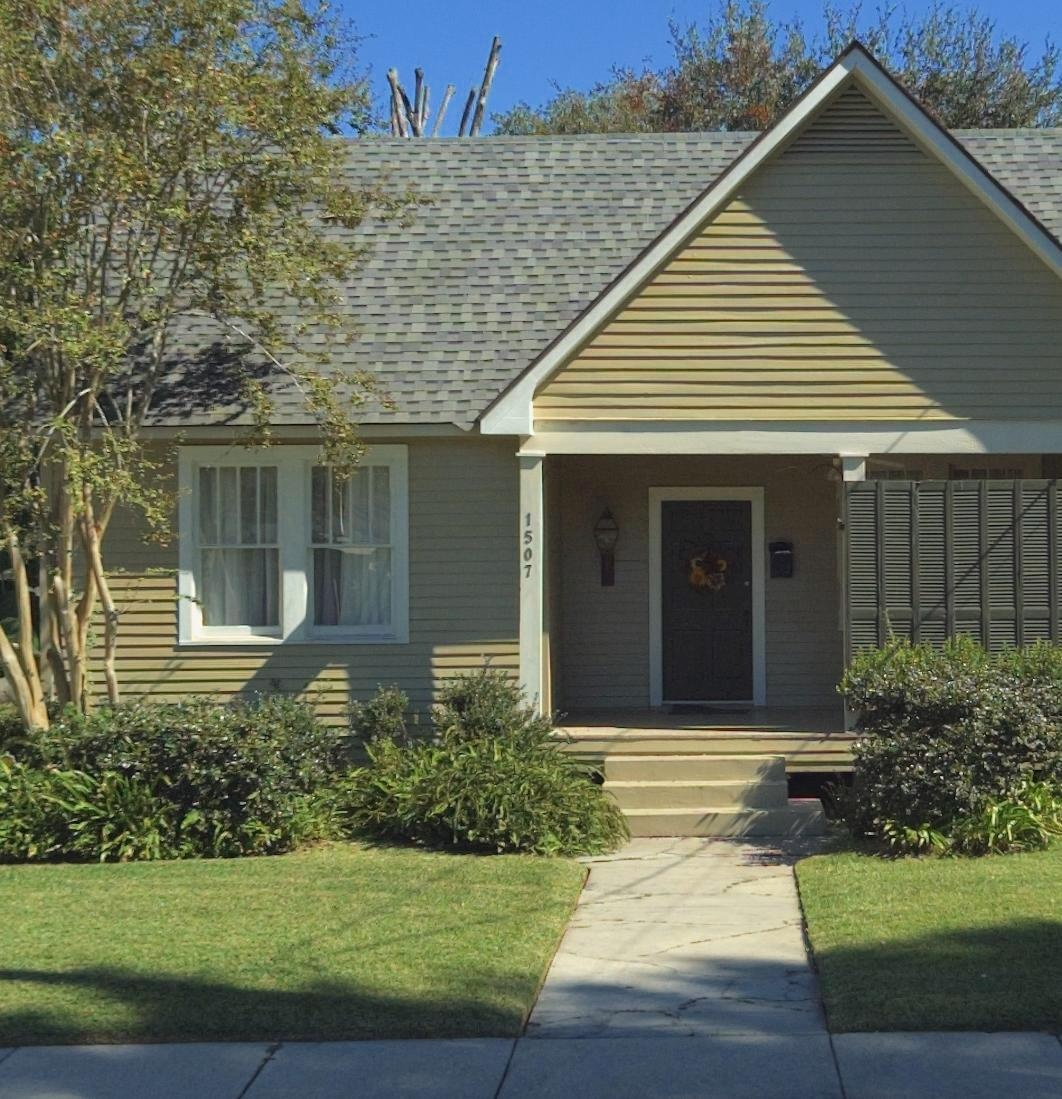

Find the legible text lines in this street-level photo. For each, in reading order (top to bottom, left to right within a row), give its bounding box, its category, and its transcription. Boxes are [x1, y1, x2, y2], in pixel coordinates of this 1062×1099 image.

[521, 510, 535, 581] StreetNumber: 1507